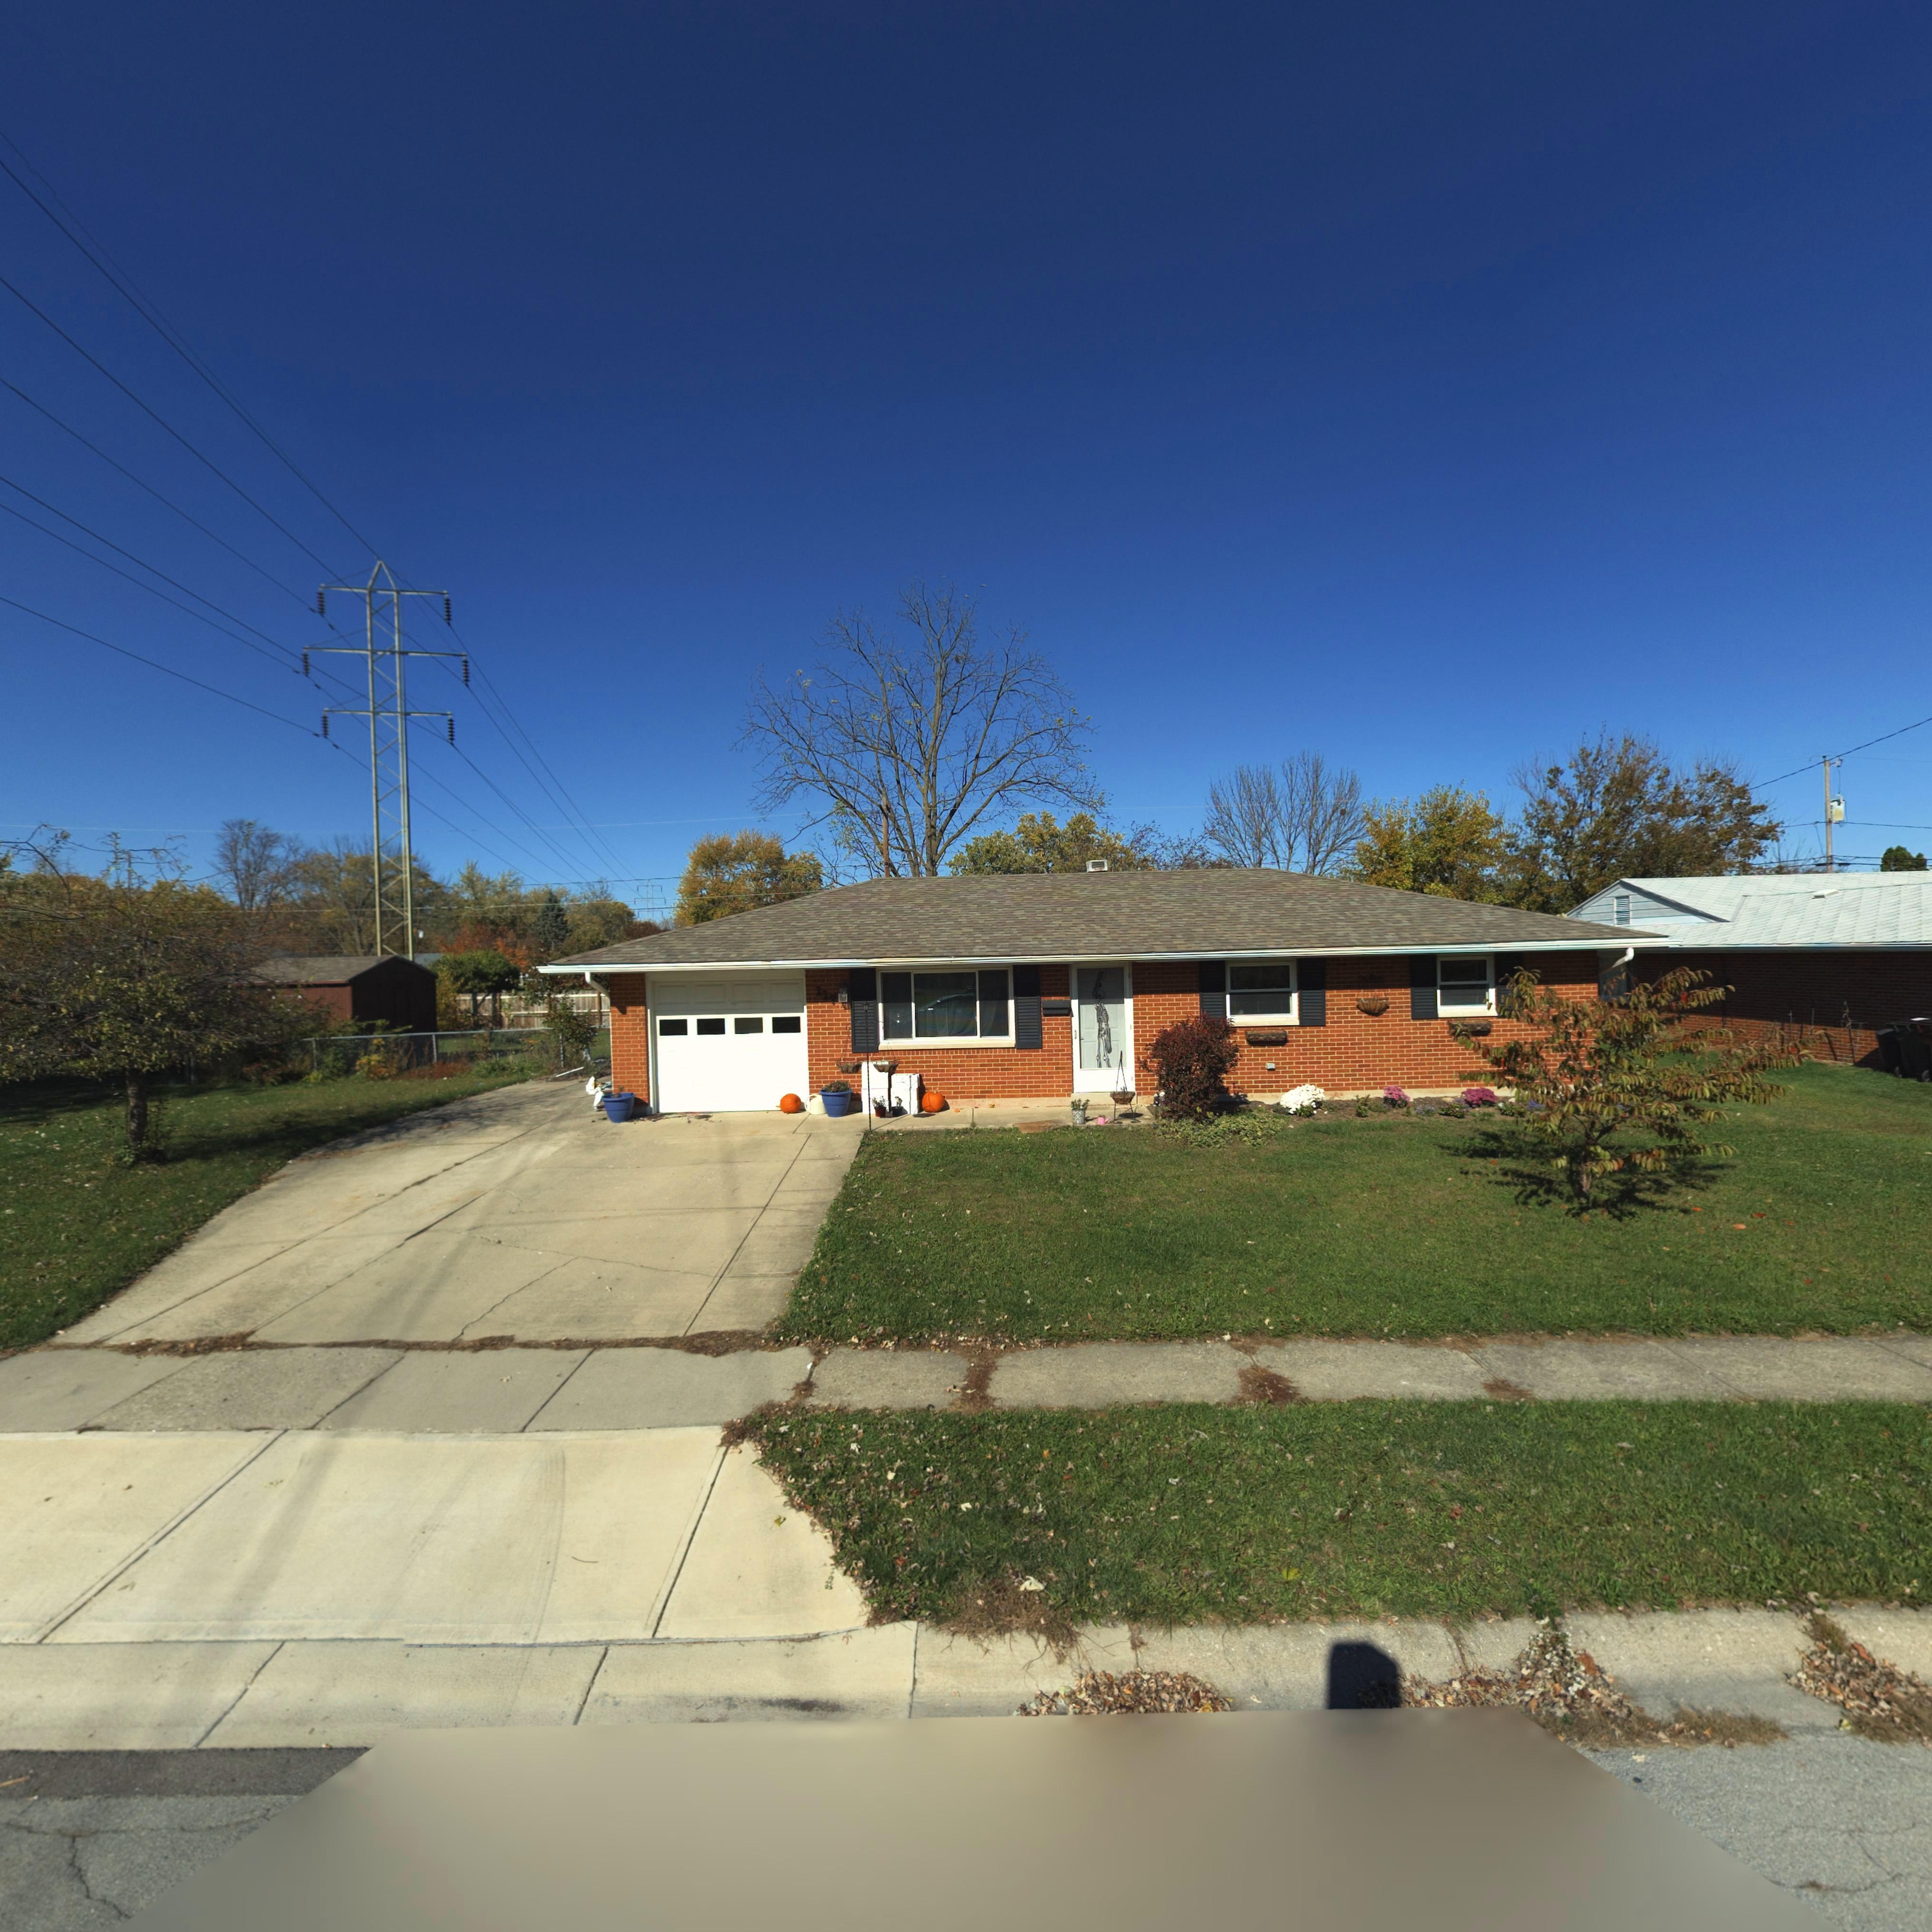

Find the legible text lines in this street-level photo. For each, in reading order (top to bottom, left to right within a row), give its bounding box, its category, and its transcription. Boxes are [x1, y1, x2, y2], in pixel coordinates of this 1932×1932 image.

[814, 985, 837, 1006] StreetNumber: 11*